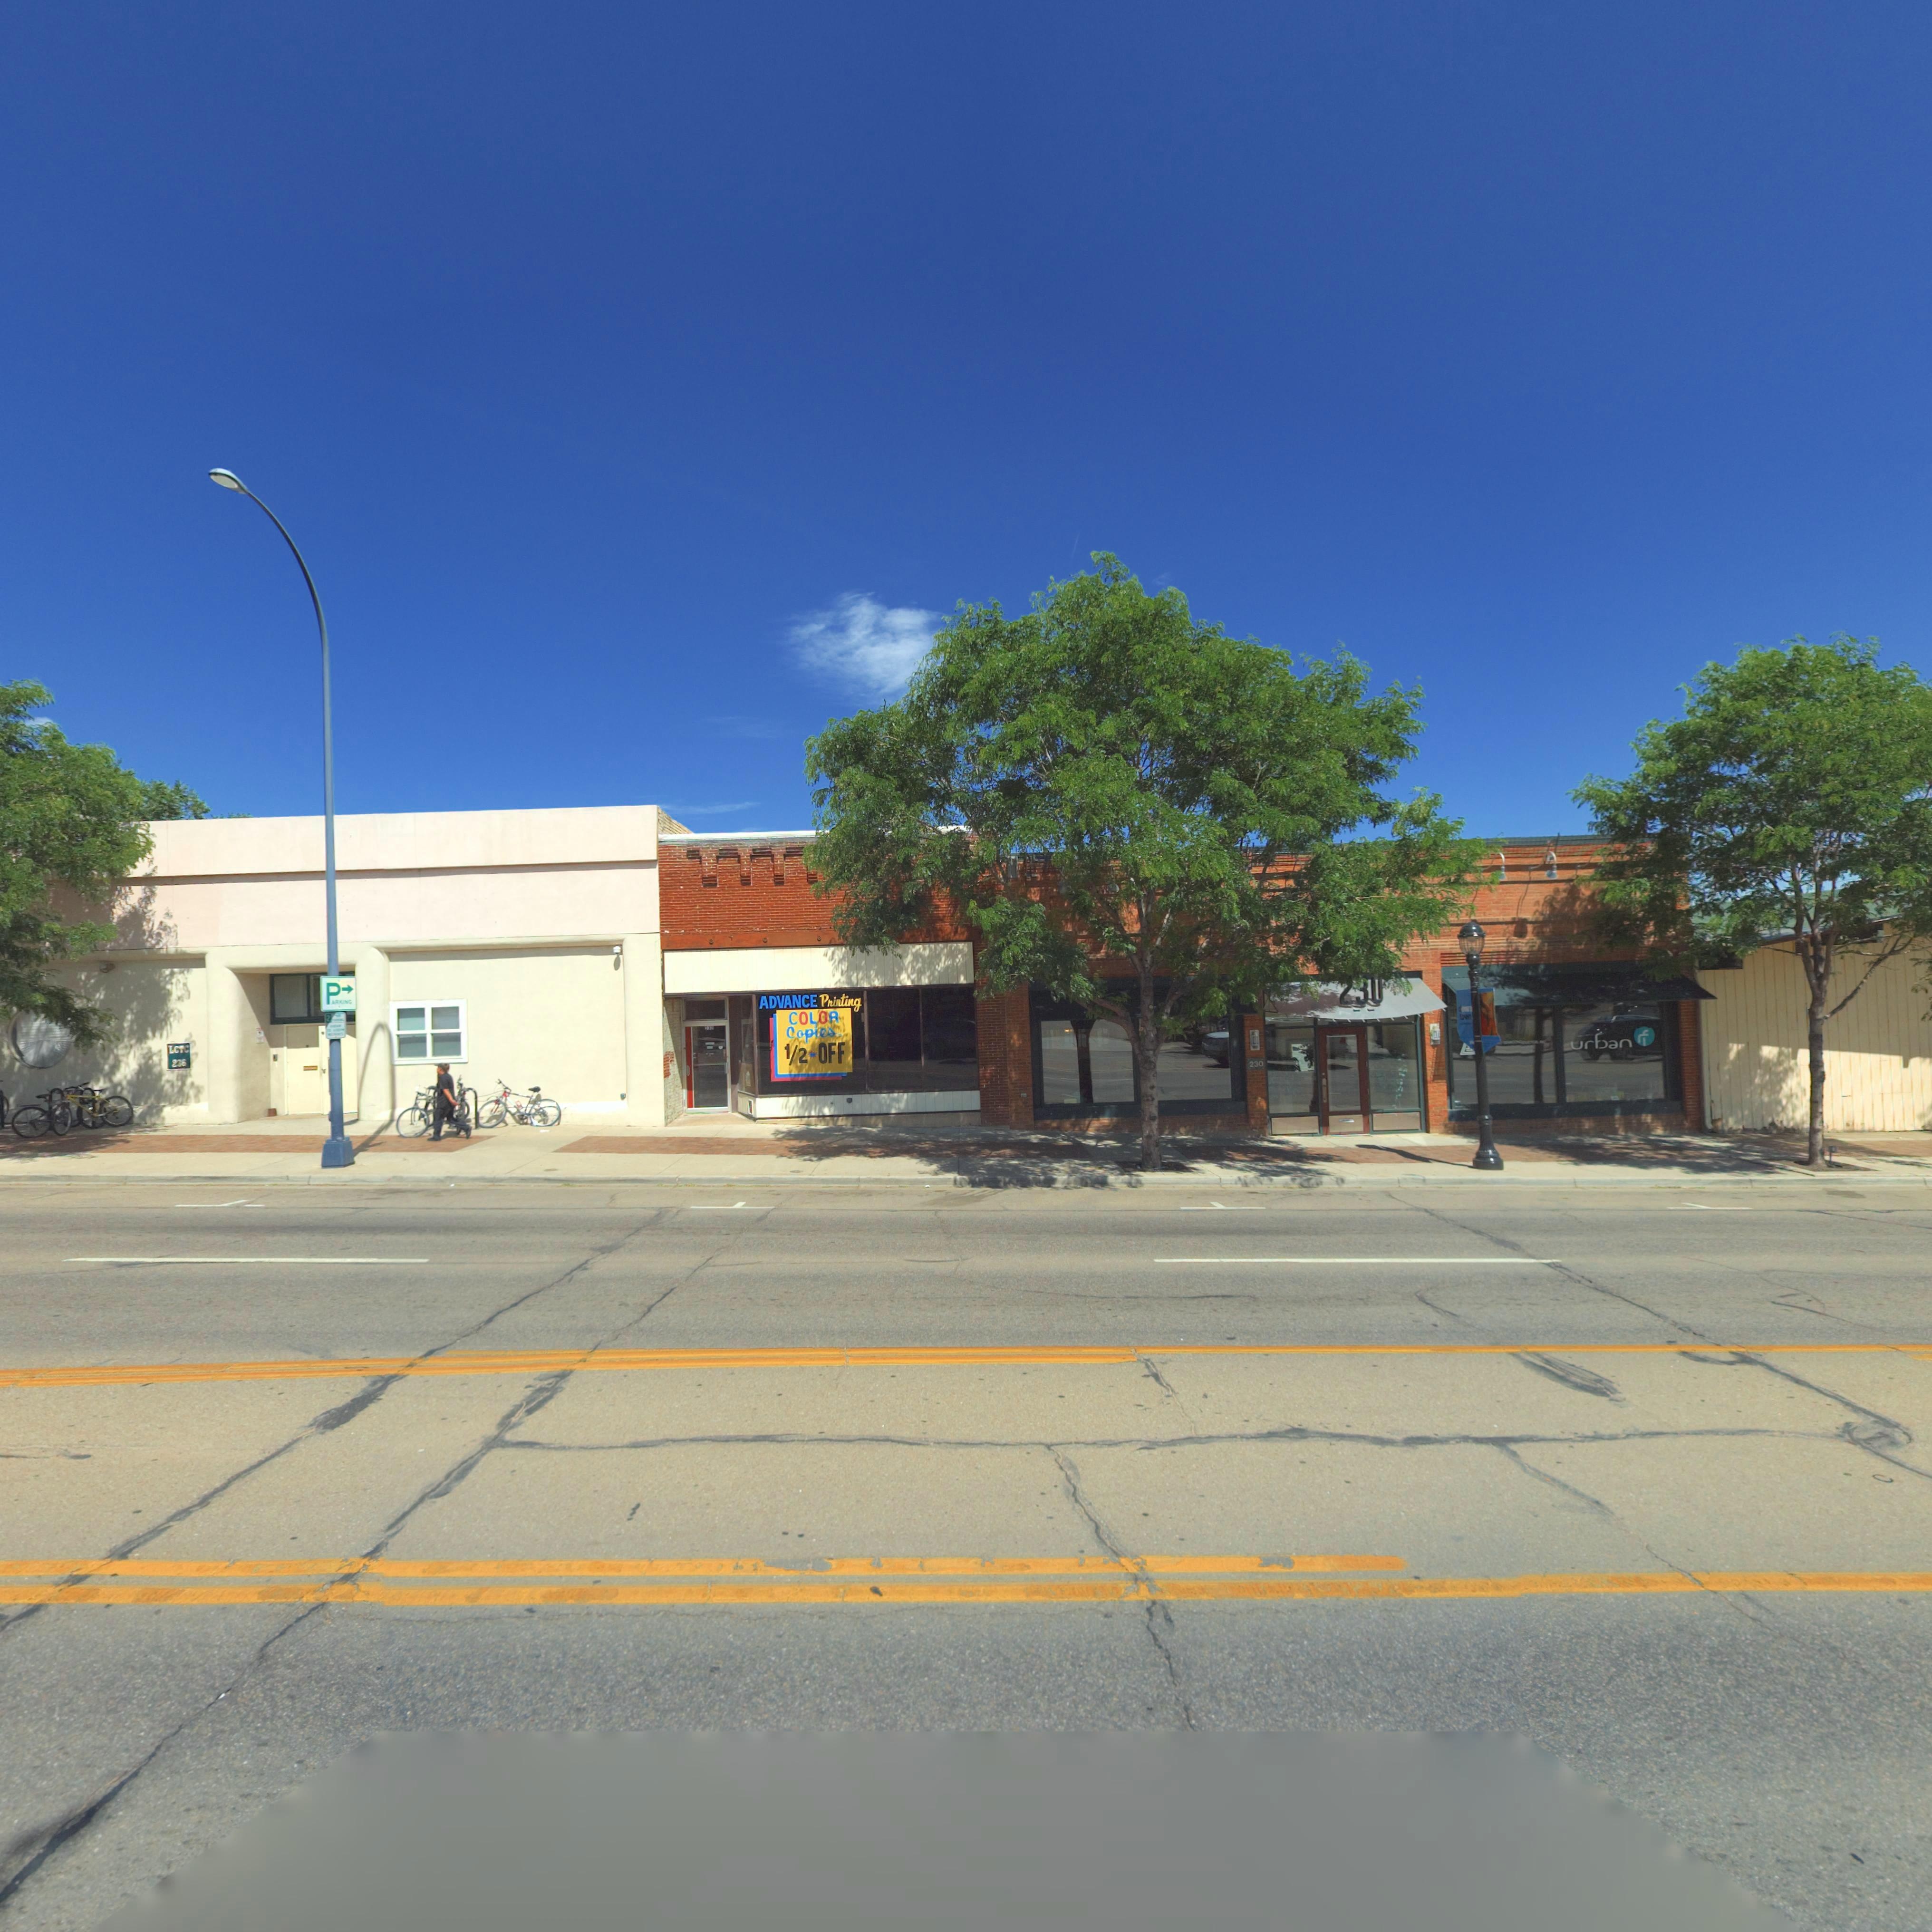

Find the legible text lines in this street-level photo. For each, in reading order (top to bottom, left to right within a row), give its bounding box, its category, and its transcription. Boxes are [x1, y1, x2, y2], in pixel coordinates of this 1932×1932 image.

[1338, 973, 1384, 1006] StreetNumber: 230
[758, 993, 862, 1013] BusinessName: ADVANCE Printing
[1569, 1032, 1633, 1050] BusinessName: urban
[171, 1058, 186, 1068] StreetNumber: 236
[1248, 1060, 1264, 1067] StreetNumber: 230